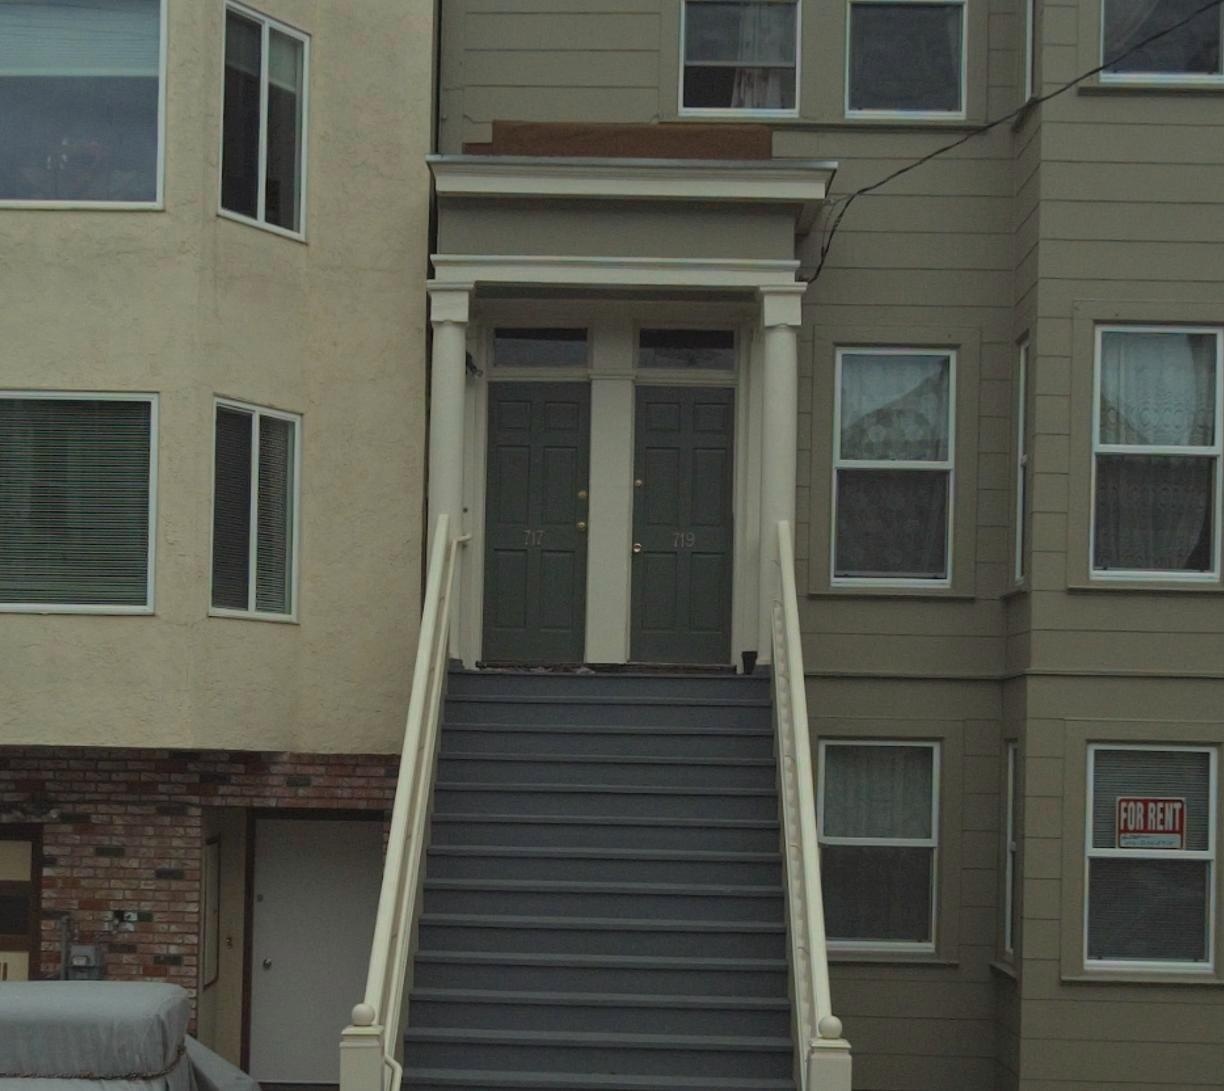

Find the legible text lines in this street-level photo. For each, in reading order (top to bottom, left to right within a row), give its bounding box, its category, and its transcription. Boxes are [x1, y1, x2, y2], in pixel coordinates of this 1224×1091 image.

[522, 529, 545, 547] StreetNumber: 717
[670, 530, 696, 549] StreetNumber: 719
[1119, 801, 1183, 833] None: FOR RENT